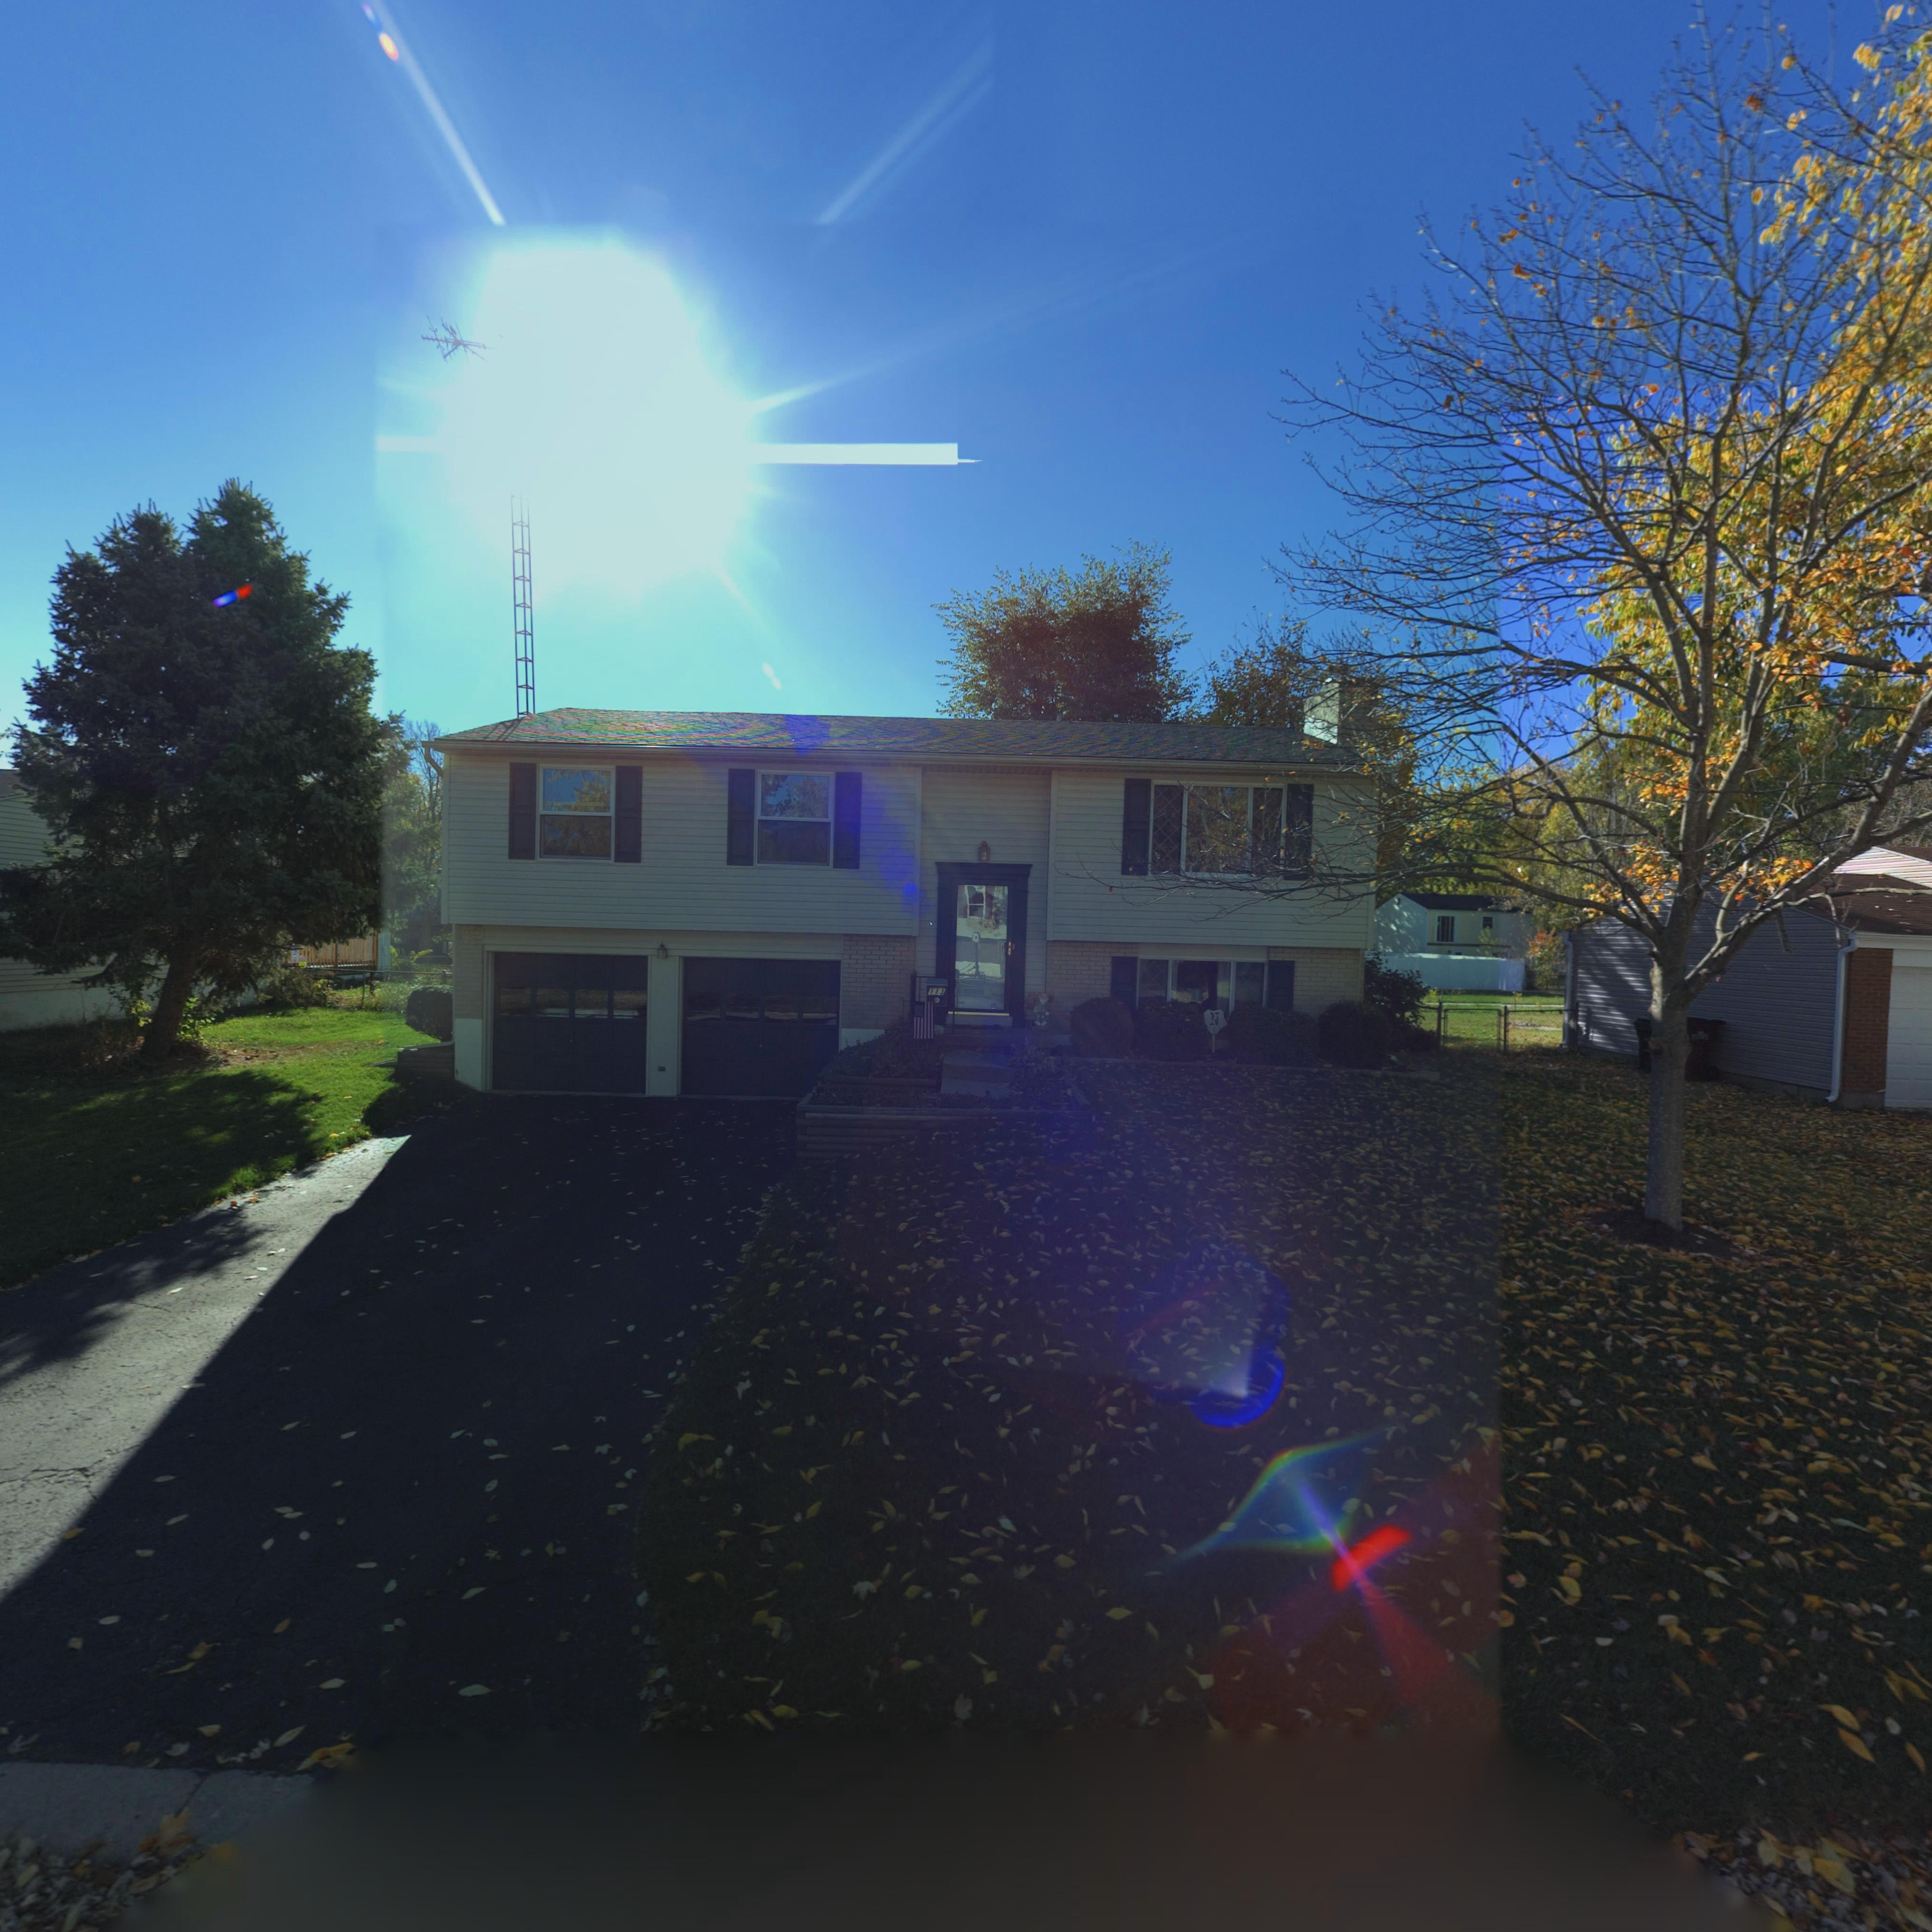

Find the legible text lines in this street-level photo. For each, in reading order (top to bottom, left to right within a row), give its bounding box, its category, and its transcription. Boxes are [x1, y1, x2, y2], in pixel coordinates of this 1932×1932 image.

[928, 988, 946, 995] StreetNumber: 113